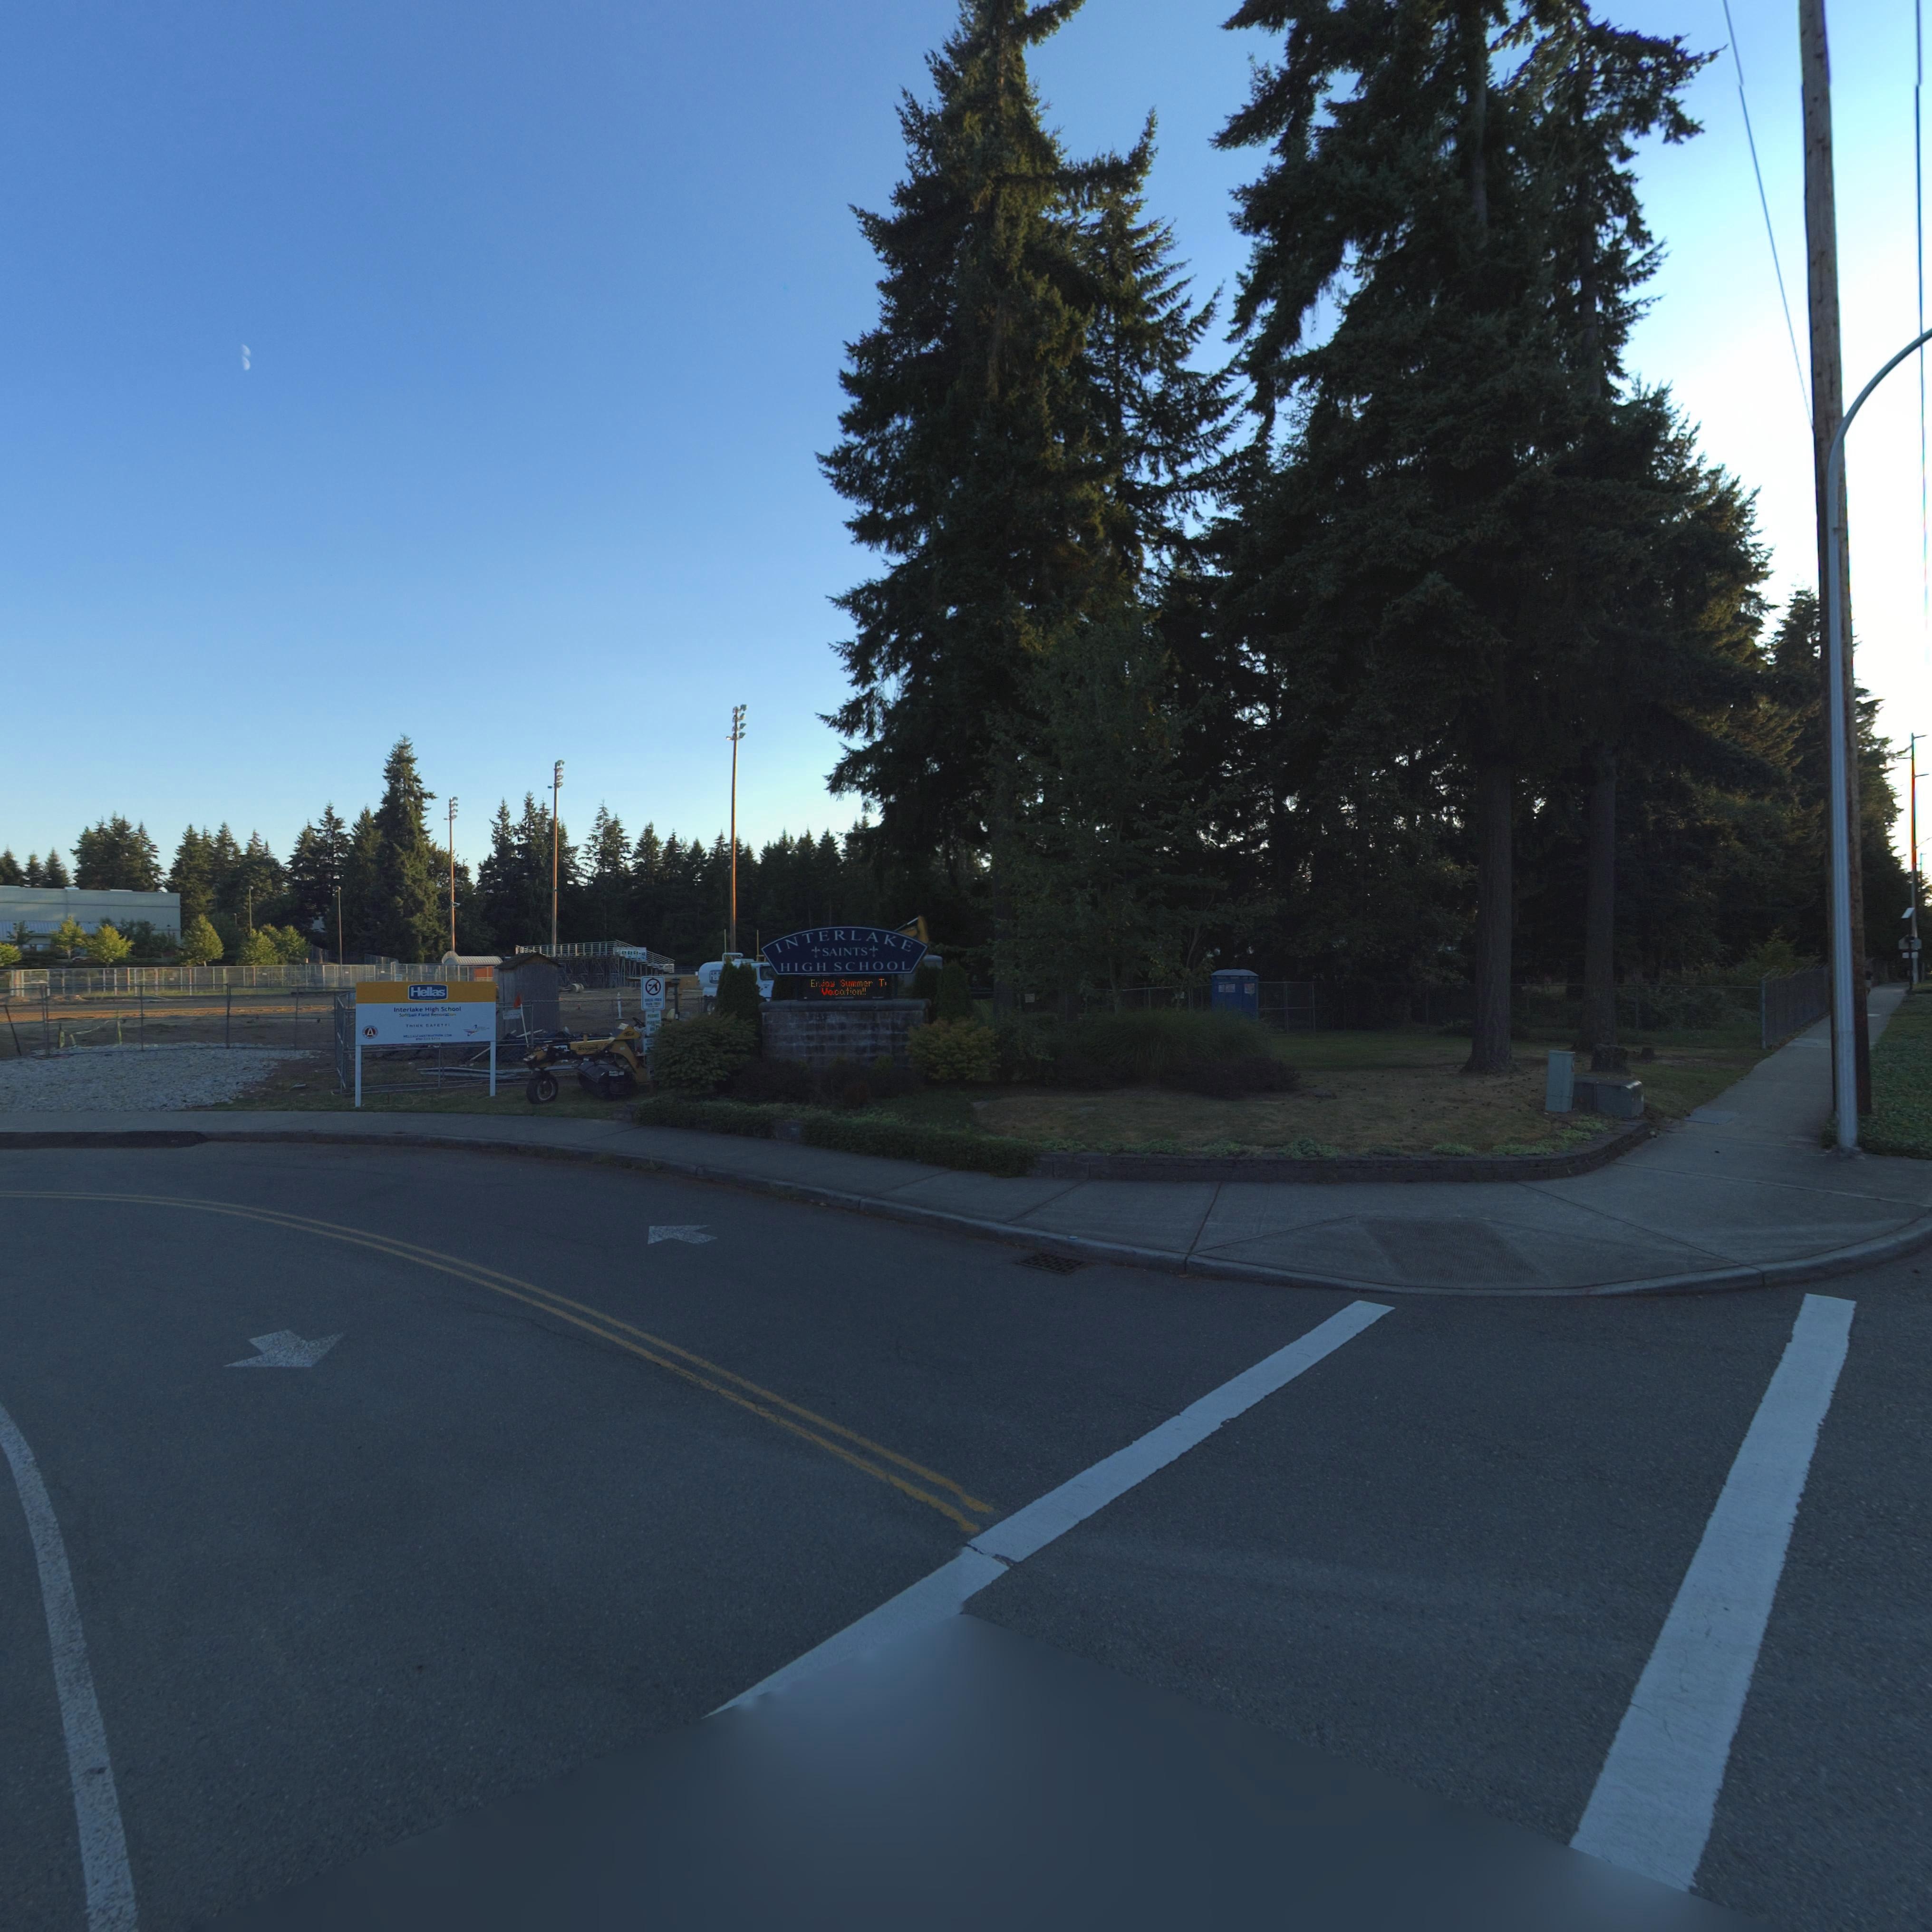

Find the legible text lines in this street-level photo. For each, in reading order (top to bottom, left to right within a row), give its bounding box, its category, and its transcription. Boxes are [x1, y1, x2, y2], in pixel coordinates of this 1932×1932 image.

[773, 929, 914, 955] BusinessName: INTERLAKE
[393, 1005, 461, 1012] BusinessName: Interlake High School